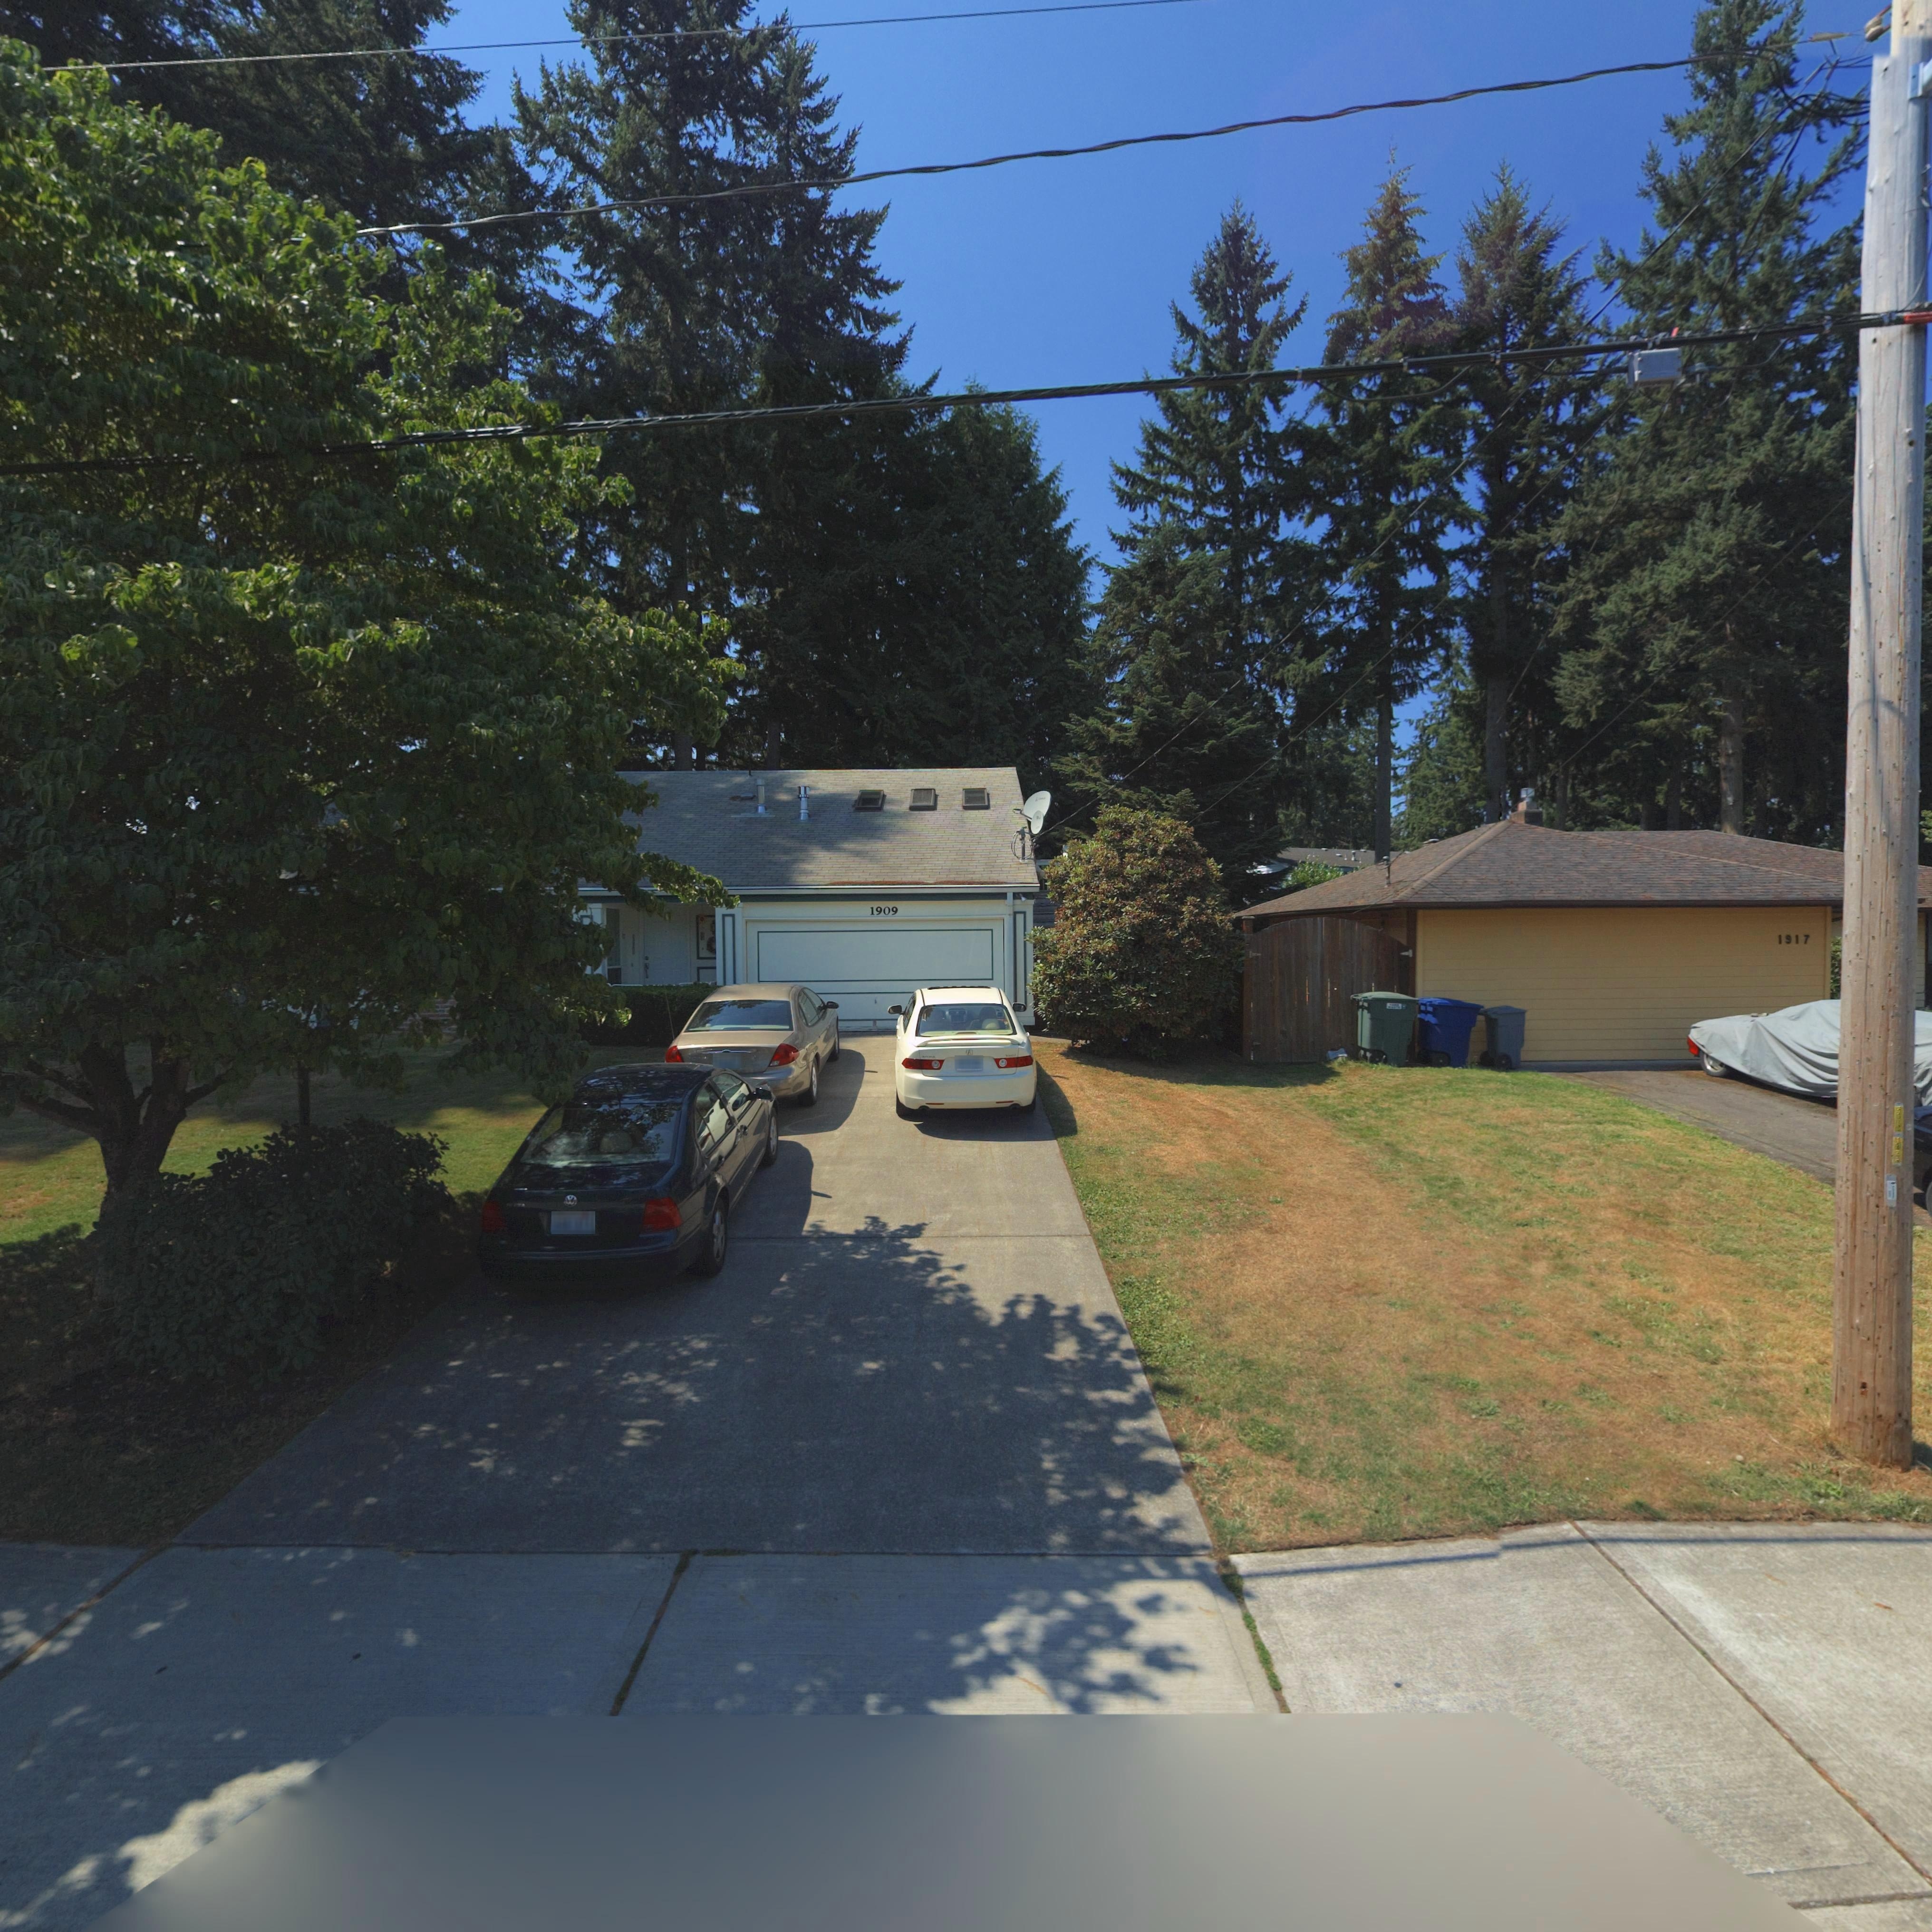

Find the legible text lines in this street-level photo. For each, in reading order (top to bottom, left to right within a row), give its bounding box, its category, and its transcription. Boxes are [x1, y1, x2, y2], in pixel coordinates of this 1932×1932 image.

[866, 905, 900, 916] StreetNumber: 1909
[1776, 933, 1815, 945] StreetNumber: 1917